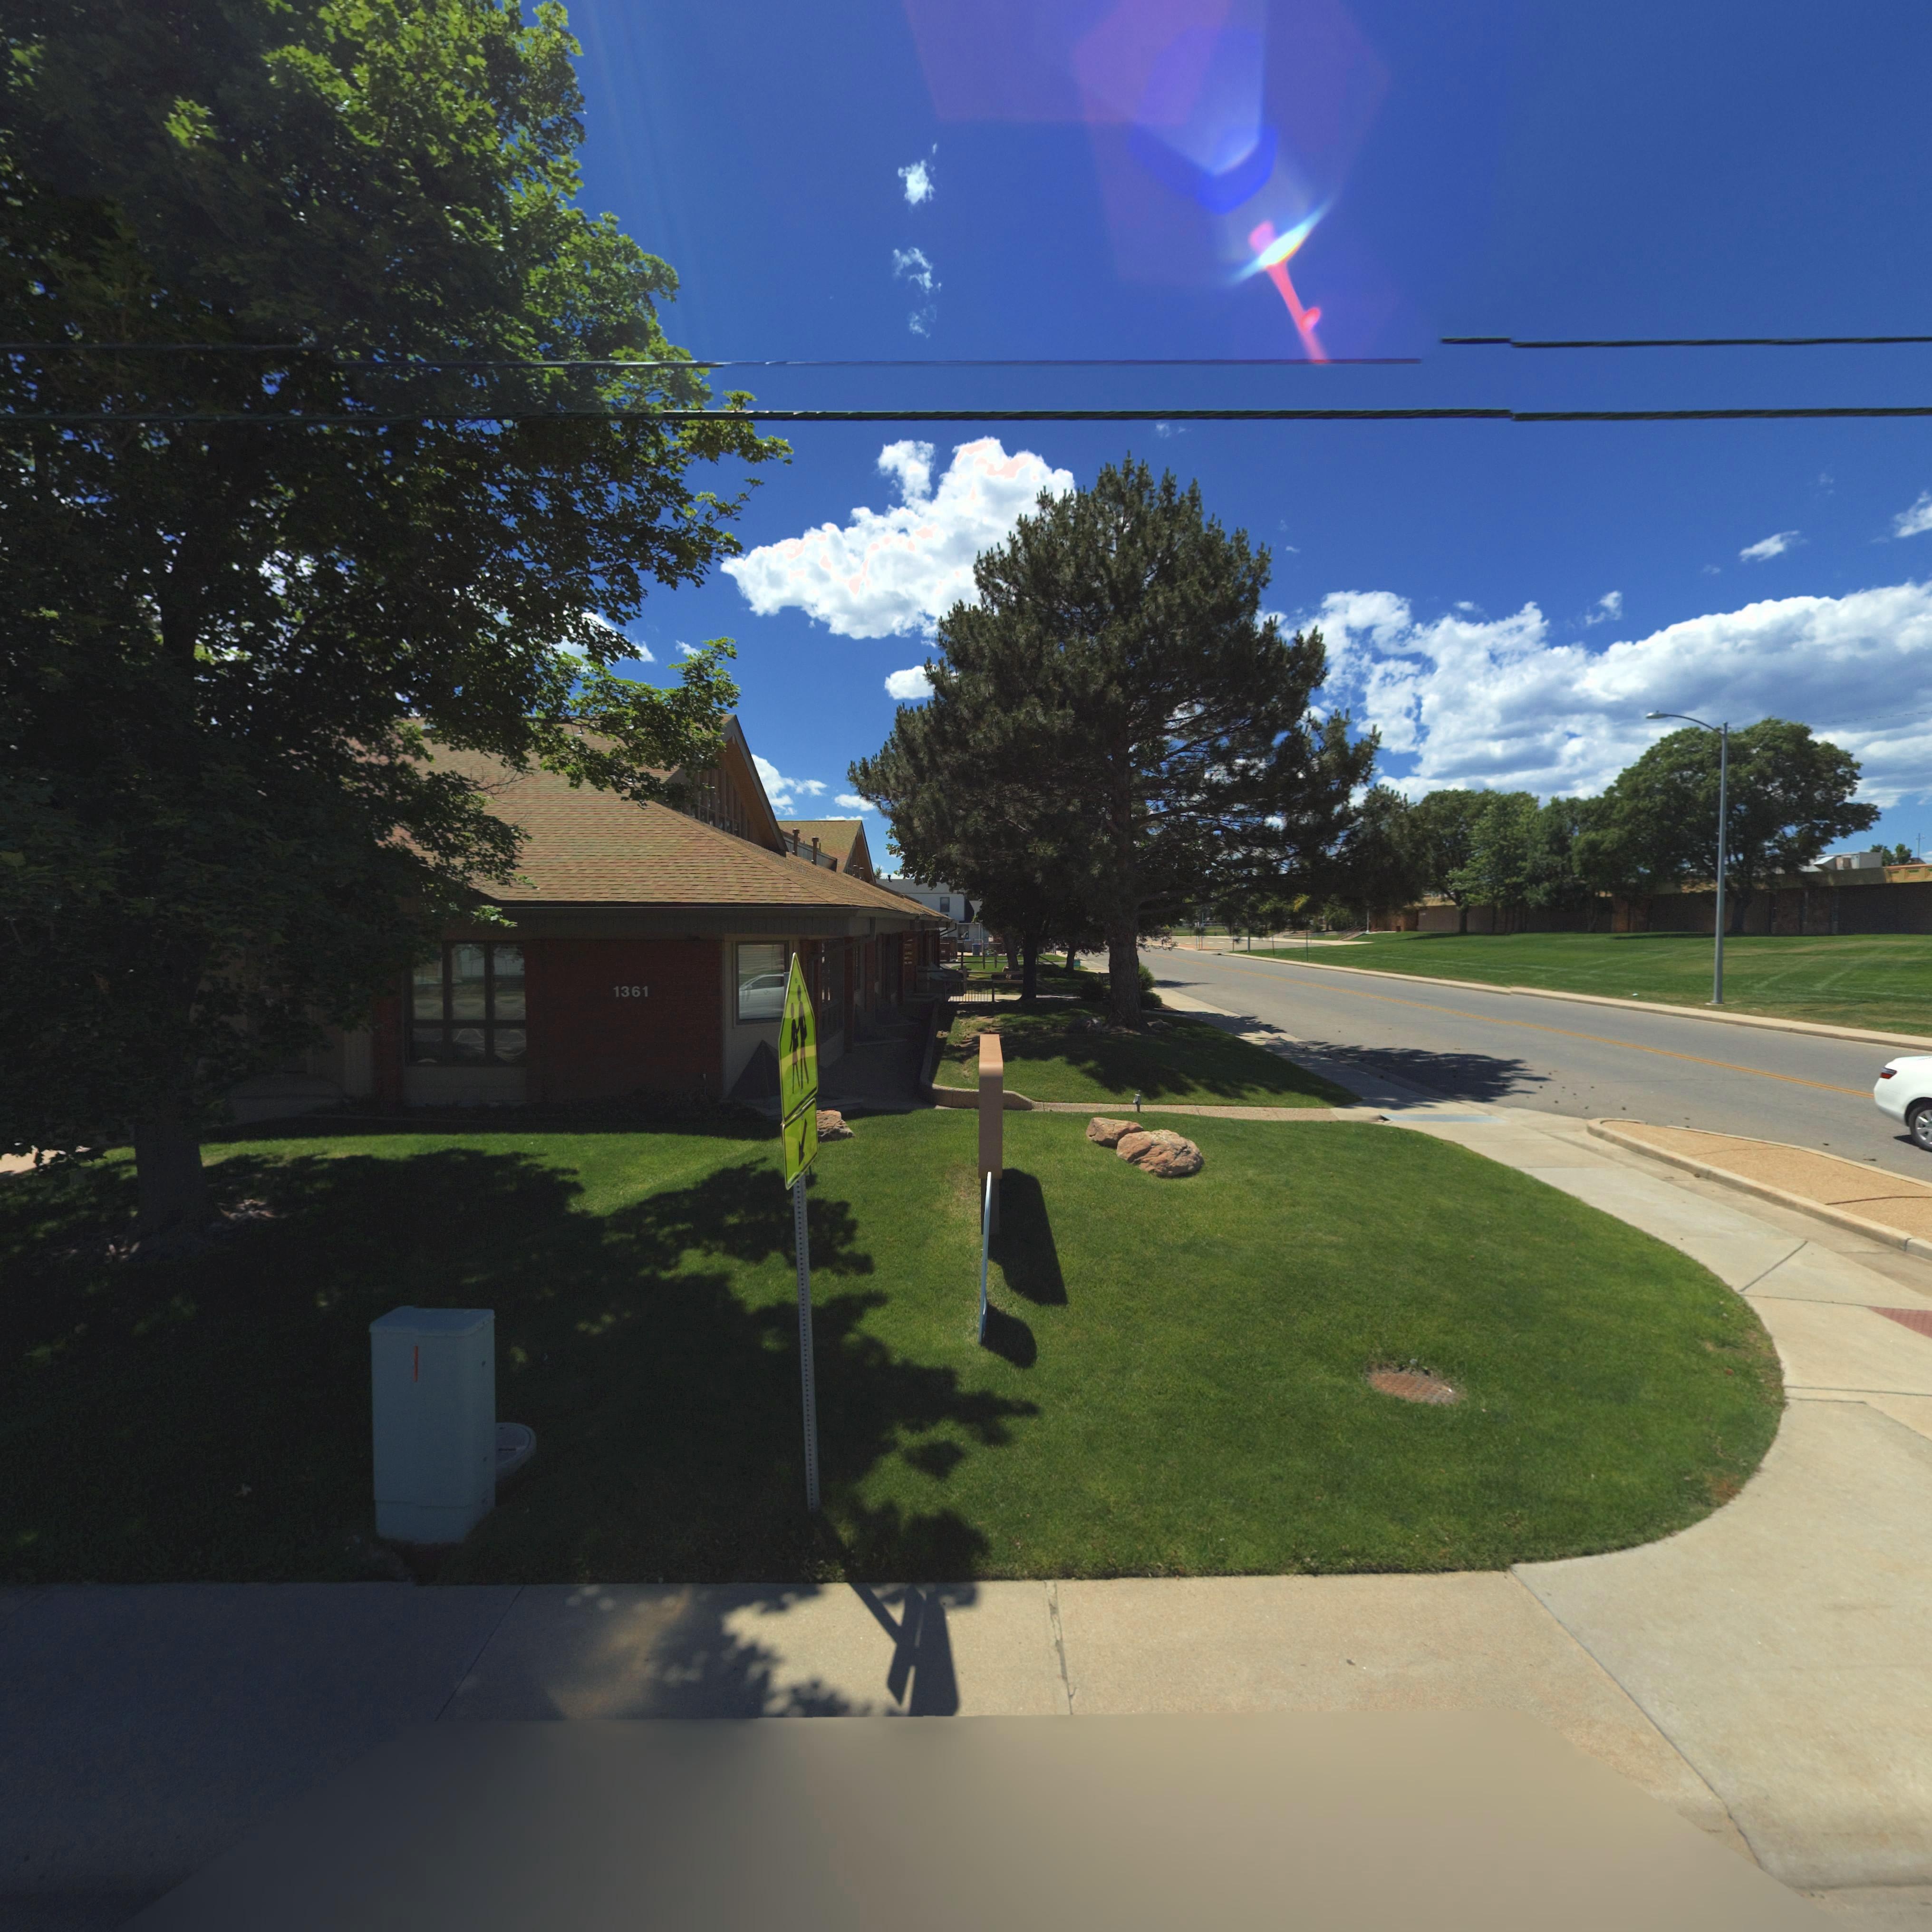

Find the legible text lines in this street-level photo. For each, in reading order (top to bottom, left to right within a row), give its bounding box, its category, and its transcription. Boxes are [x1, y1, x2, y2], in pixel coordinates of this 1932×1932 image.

[612, 985, 648, 997] StreetNumber: 1361